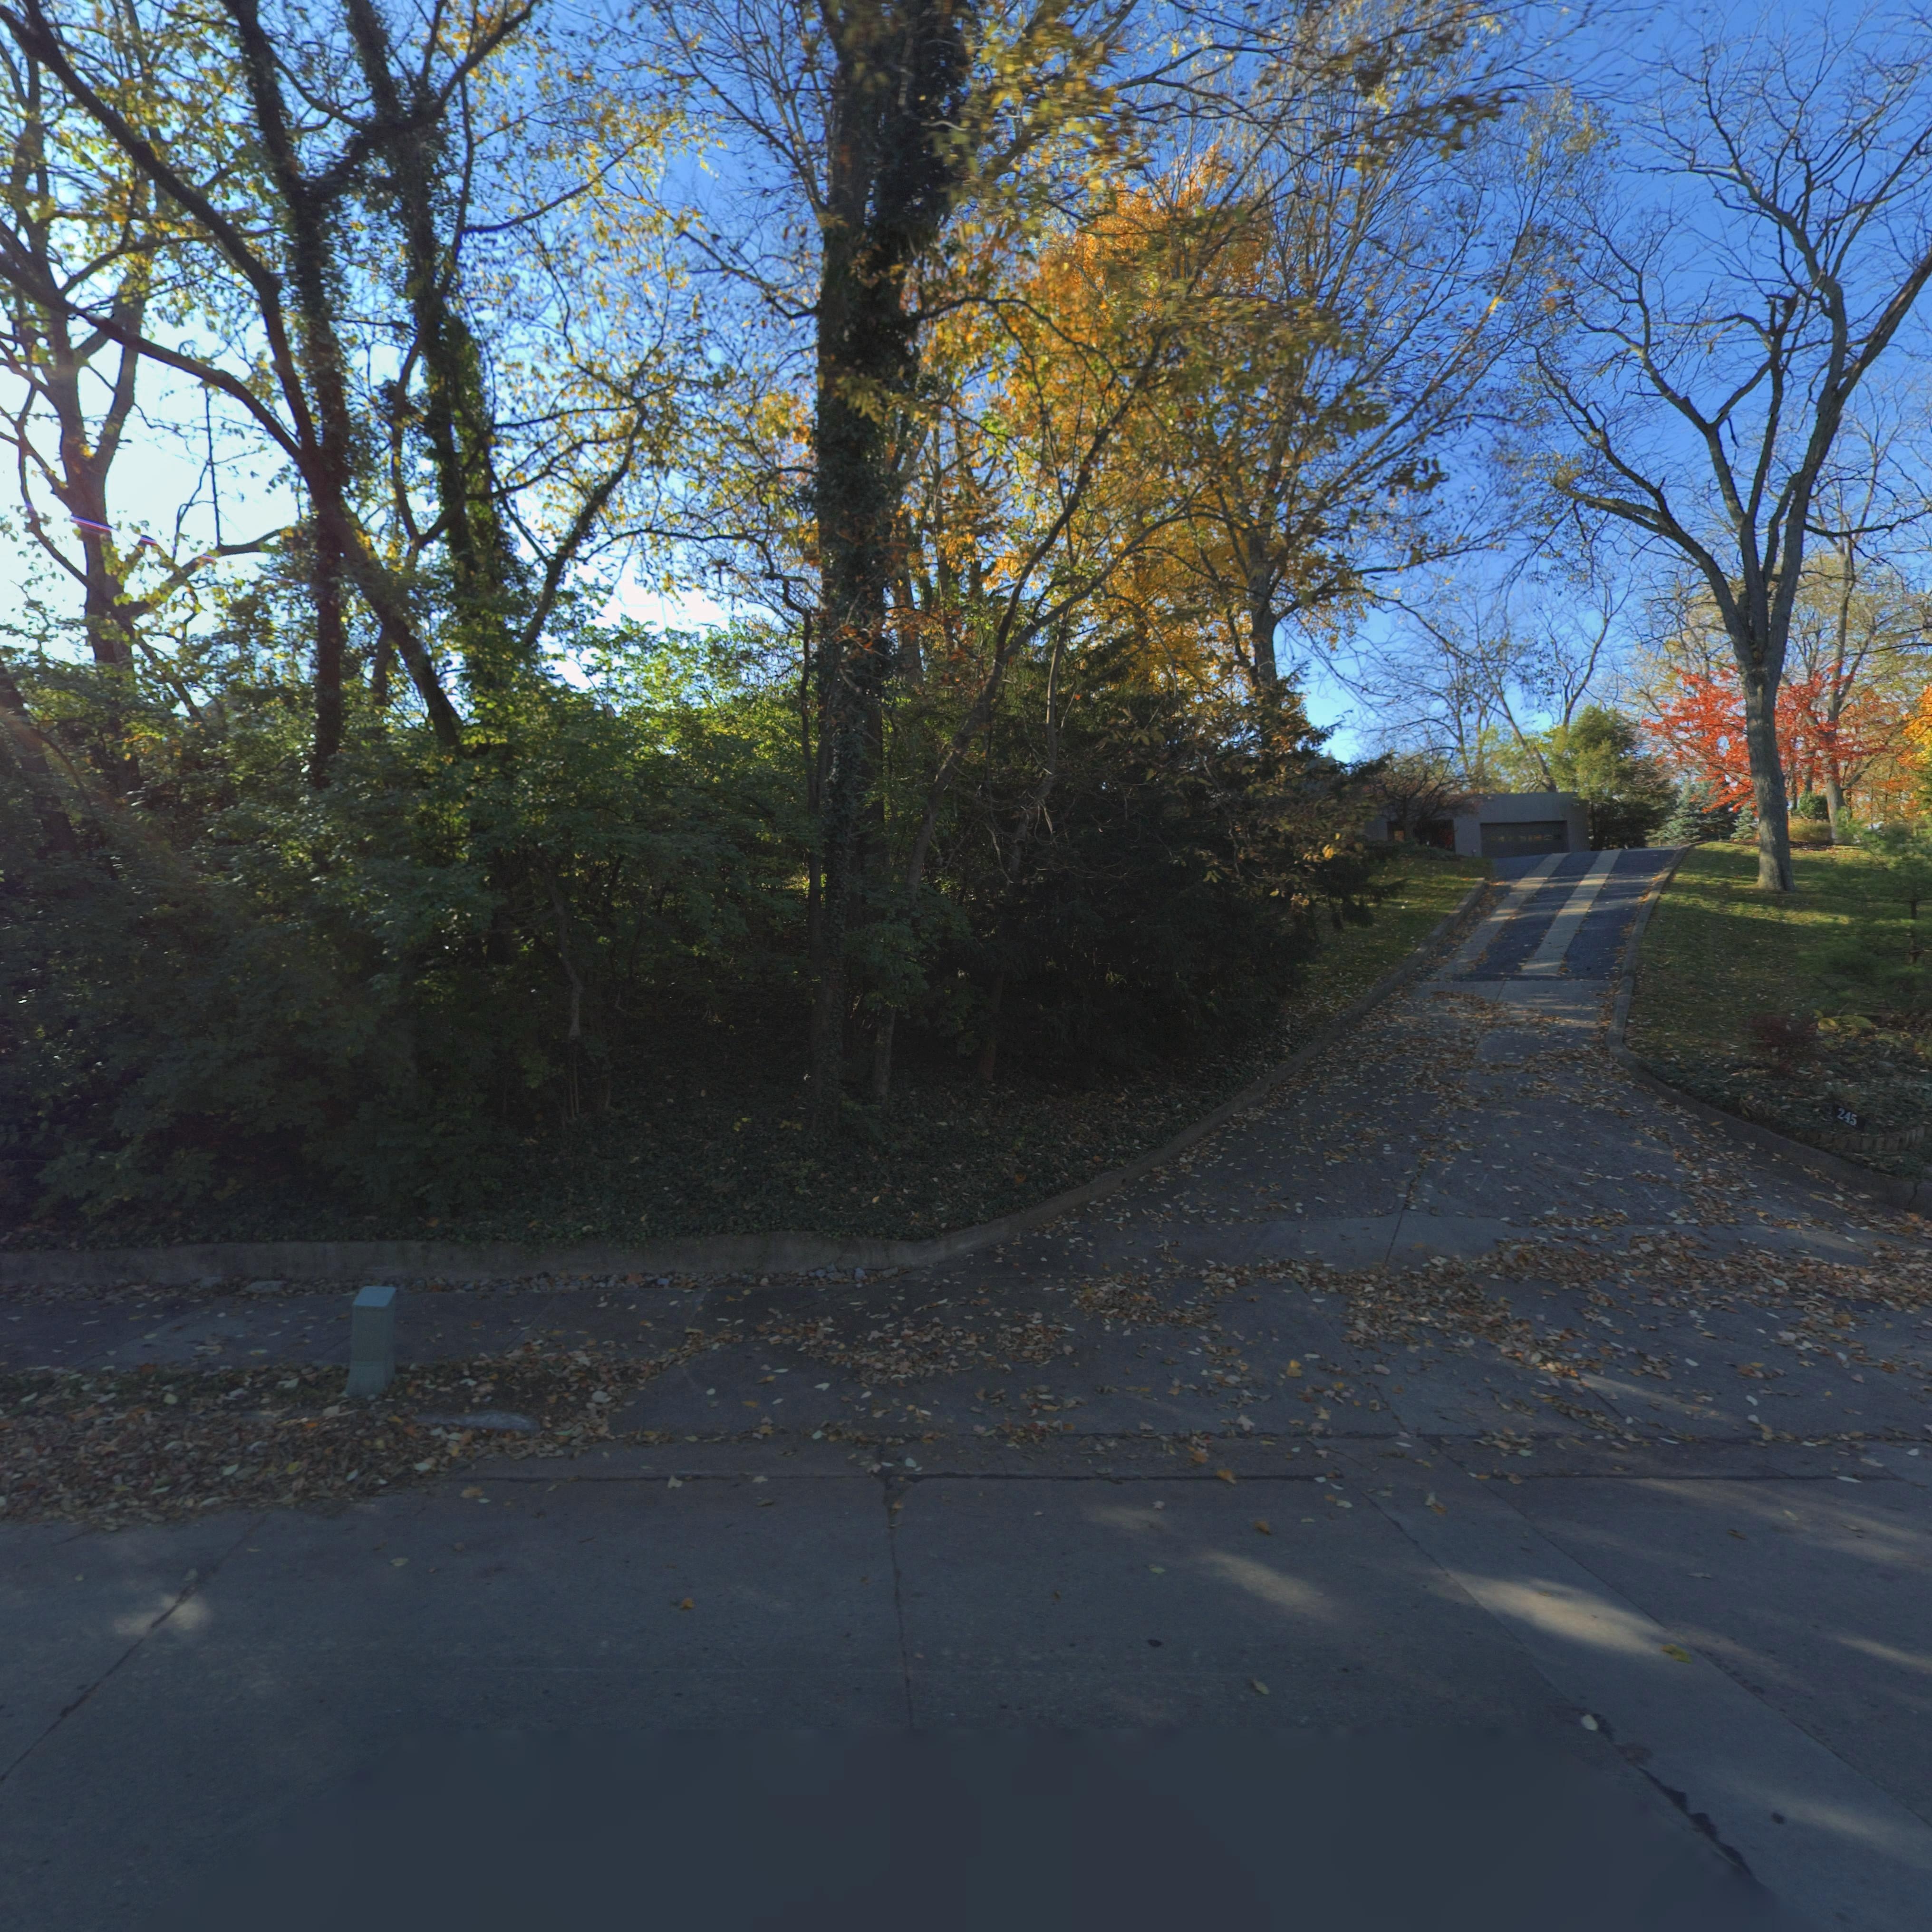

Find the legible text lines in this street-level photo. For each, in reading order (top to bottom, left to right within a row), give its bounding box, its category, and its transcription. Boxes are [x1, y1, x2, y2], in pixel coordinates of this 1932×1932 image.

[1835, 1106, 1858, 1128] StreetNumber: 245